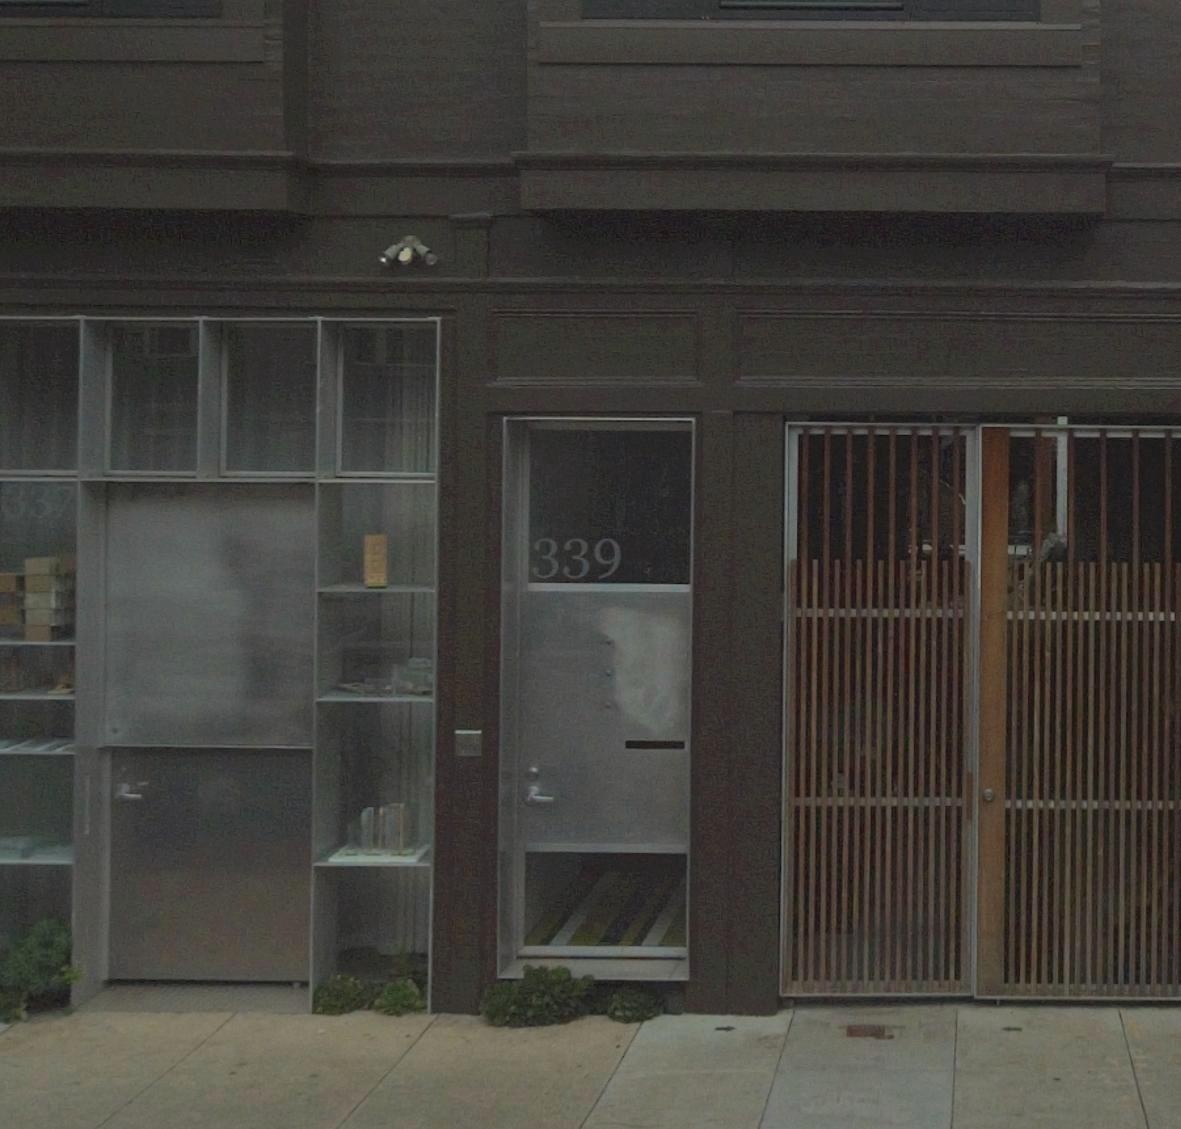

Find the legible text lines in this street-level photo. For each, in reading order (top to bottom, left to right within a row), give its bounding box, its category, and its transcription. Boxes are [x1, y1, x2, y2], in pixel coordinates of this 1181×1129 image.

[531, 536, 622, 581] StreetNumber: 339